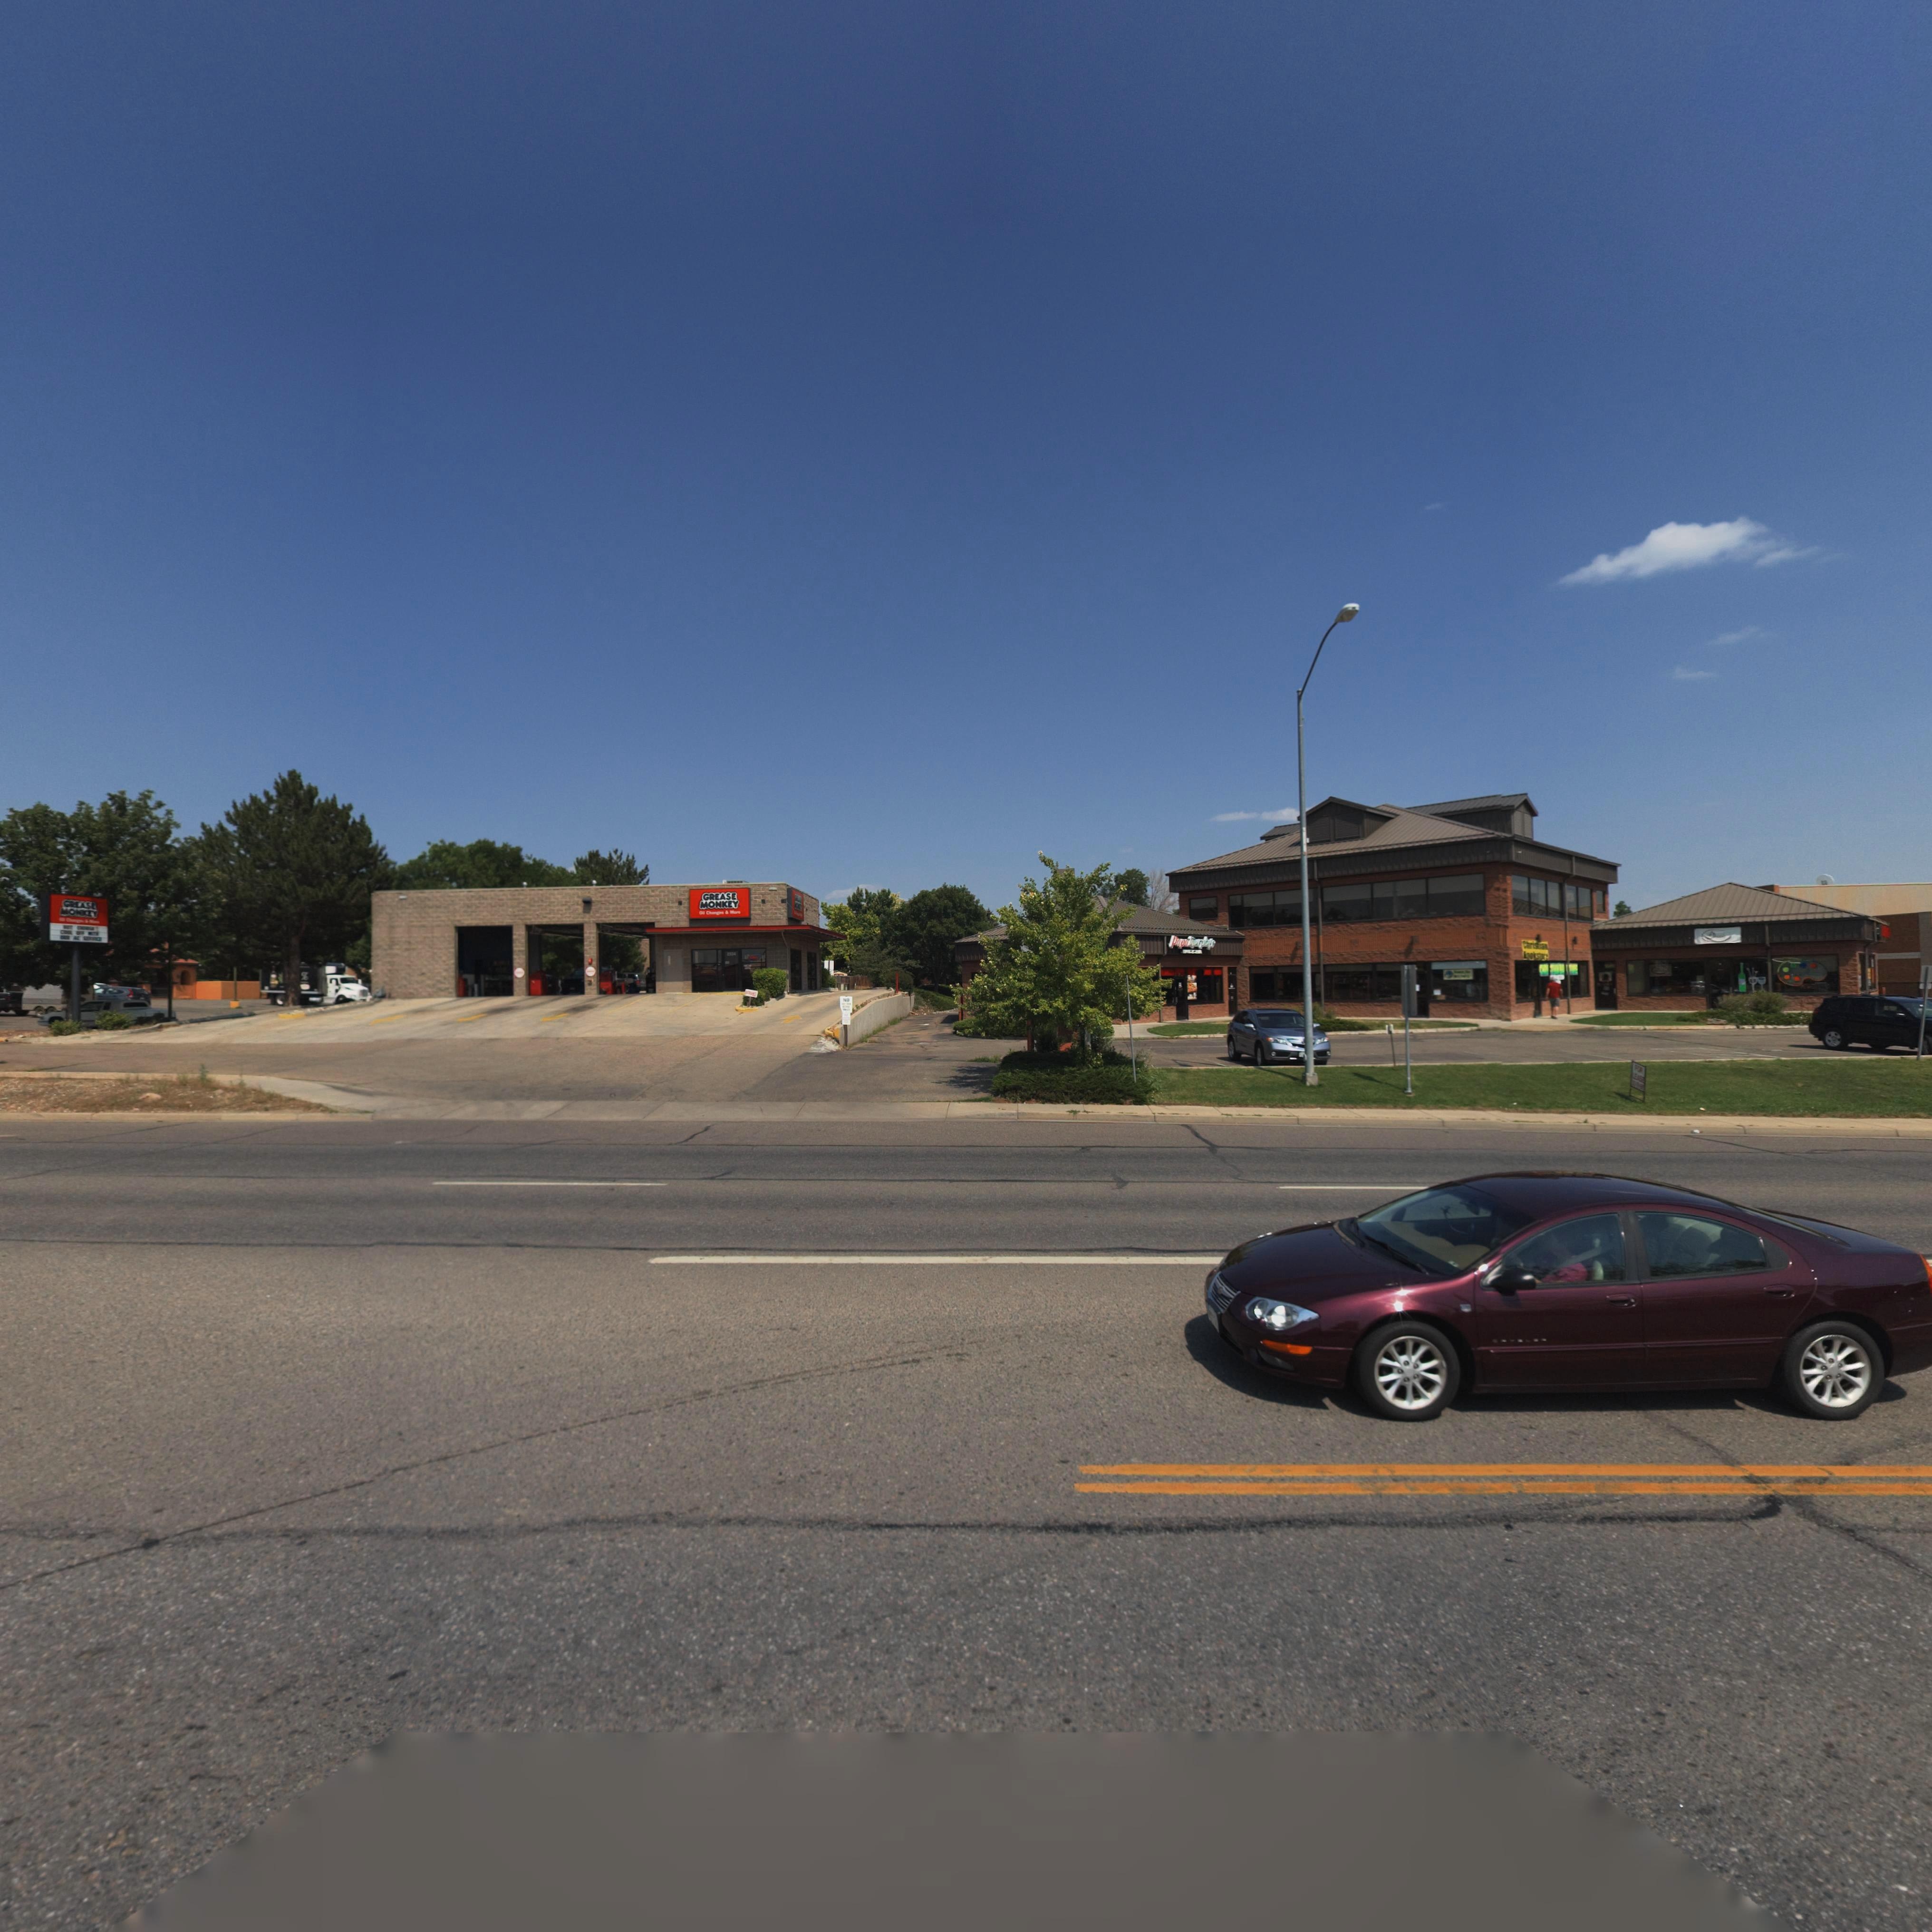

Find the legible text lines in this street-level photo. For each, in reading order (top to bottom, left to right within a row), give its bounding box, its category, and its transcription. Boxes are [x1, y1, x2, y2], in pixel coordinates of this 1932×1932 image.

[703, 892, 736, 900] BusinessName: GREASE
[795, 893, 802, 904] BusinessName: GREASE
[62, 899, 97, 910] BusinessName: GREASE
[700, 900, 739, 909] BusinessName: MONKEY
[794, 901, 802, 912] BusinessName: MONKEY
[60, 908, 99, 917] BusinessName: MONKEY
[1168, 935, 1217, 951] BusinessName: Papa Murphy's
[726, 952, 736, 956] StreetNumber: 2334
[1182, 949, 1202, 954] BusinessName: PIZZA